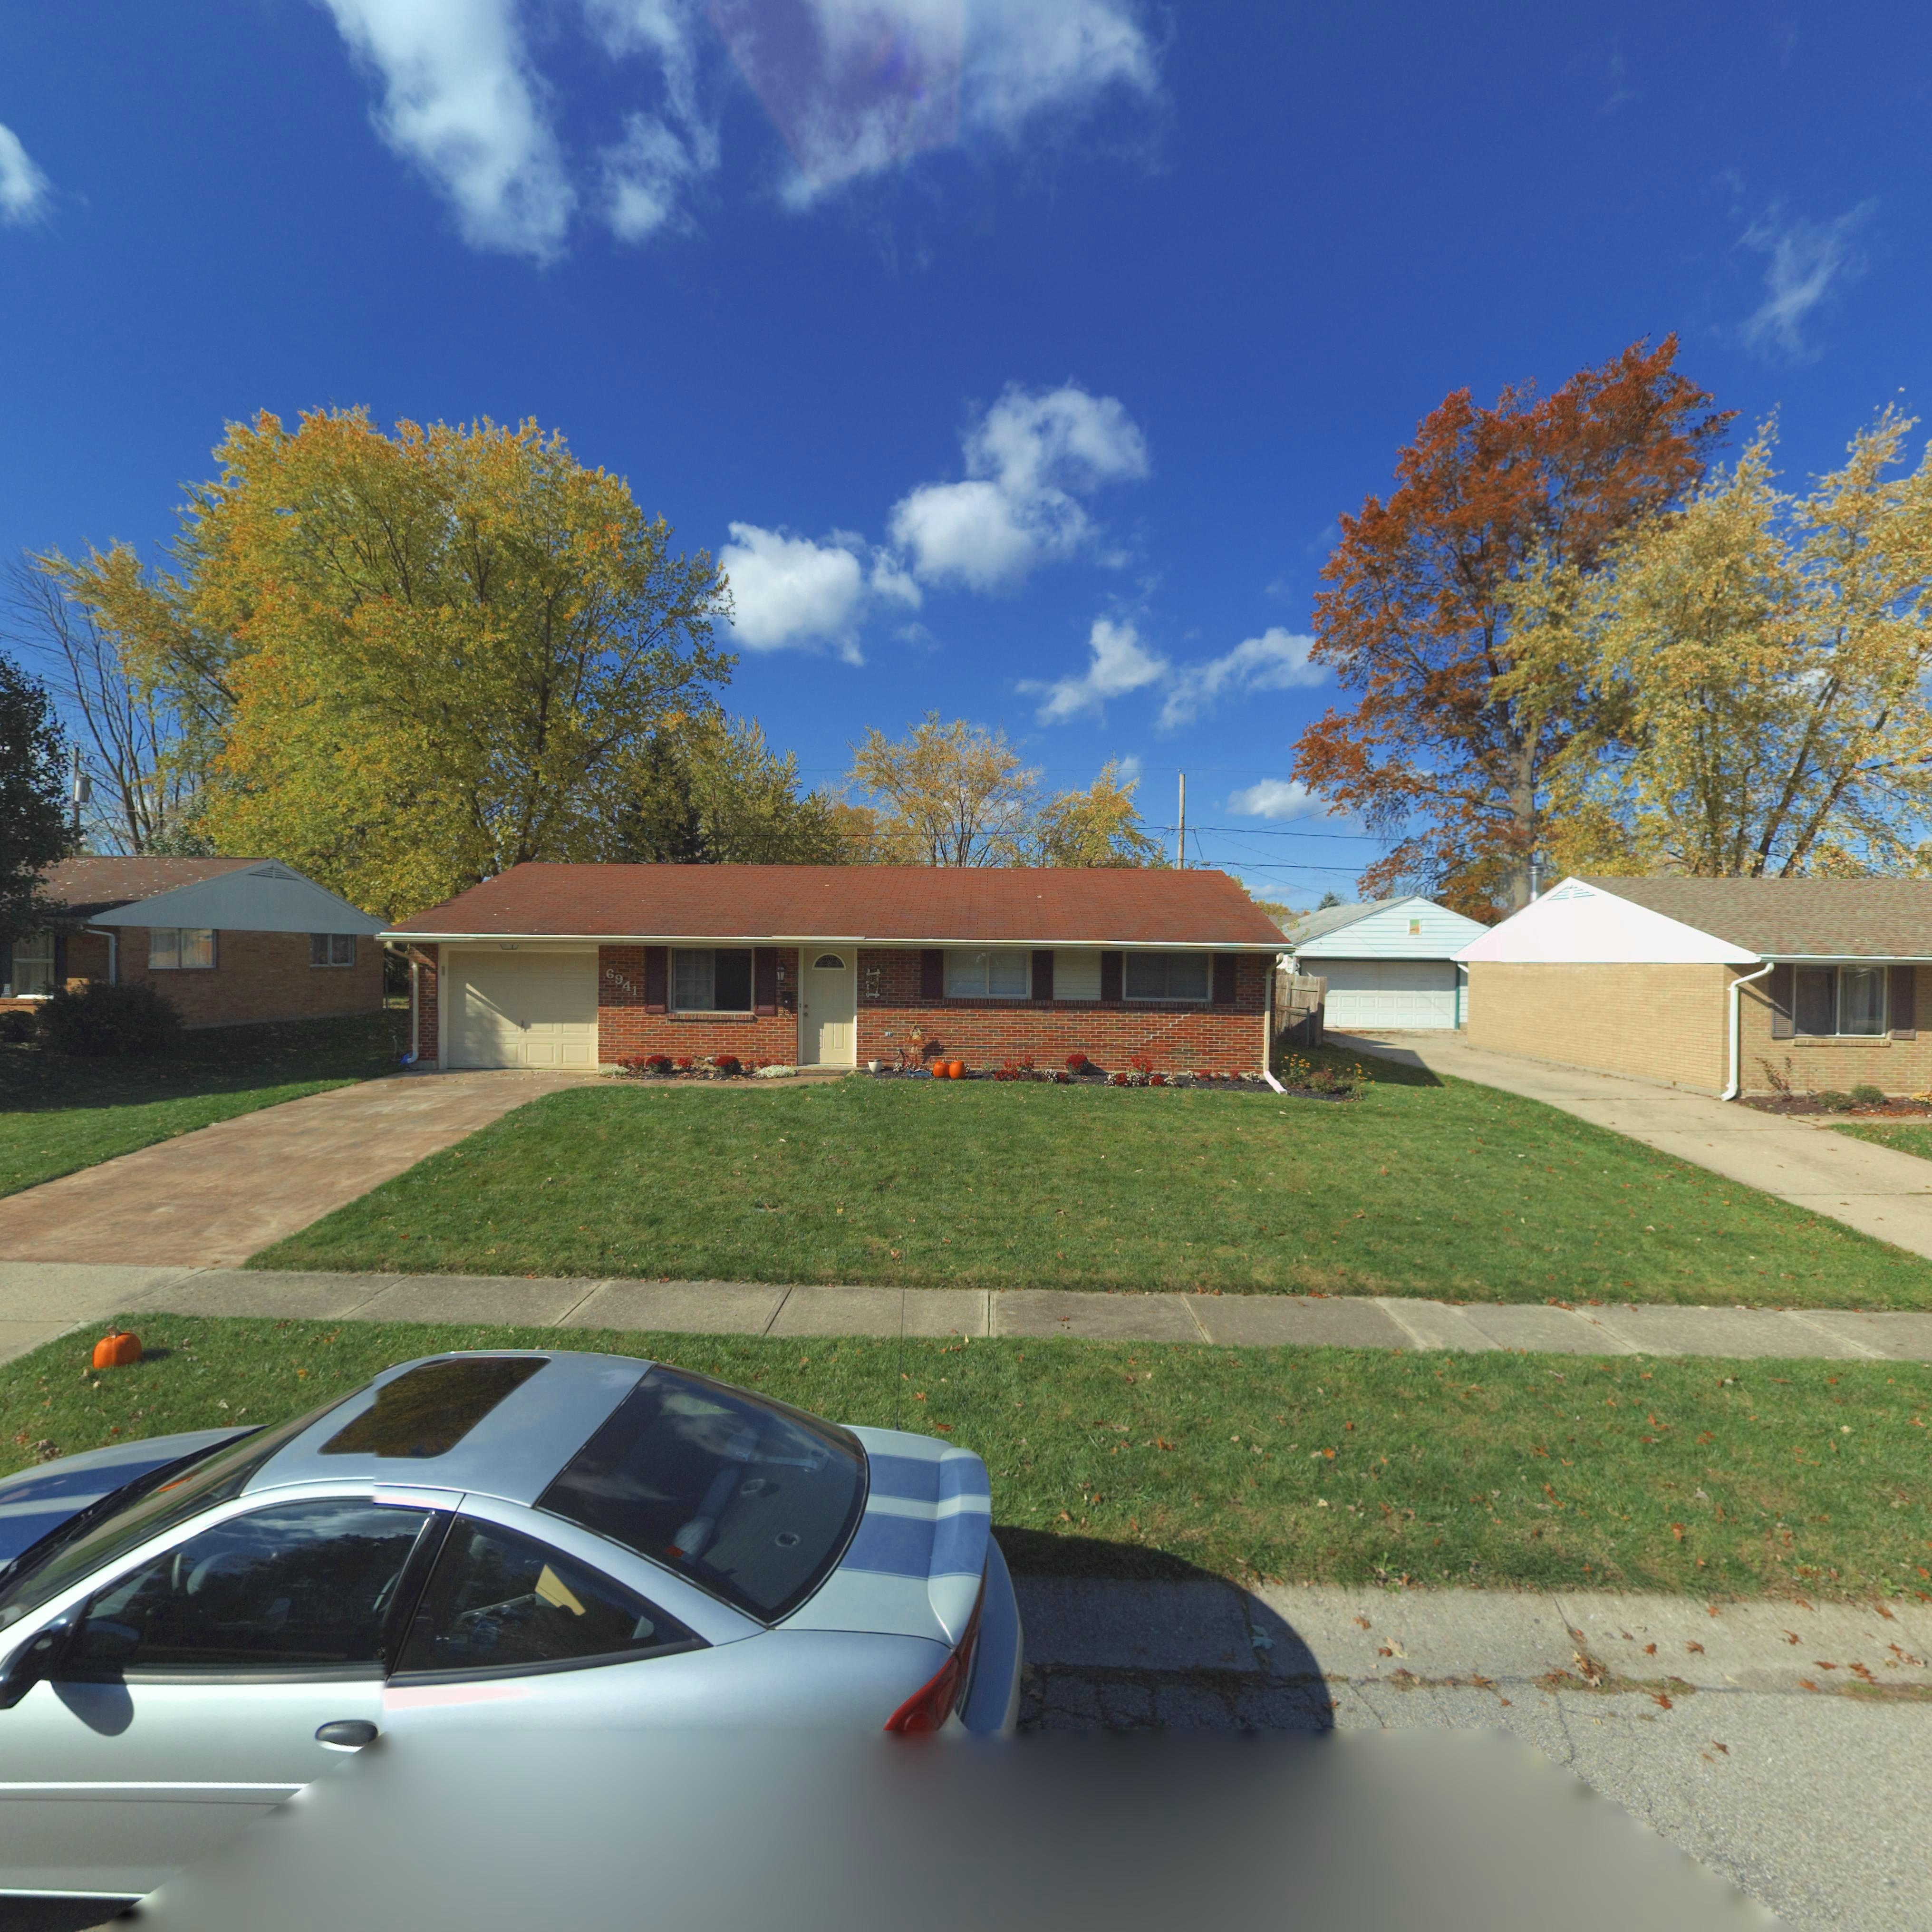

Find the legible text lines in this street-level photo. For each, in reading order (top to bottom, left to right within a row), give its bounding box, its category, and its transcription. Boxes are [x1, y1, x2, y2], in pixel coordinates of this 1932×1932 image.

[605, 968, 638, 997] StreetNumber: 6941